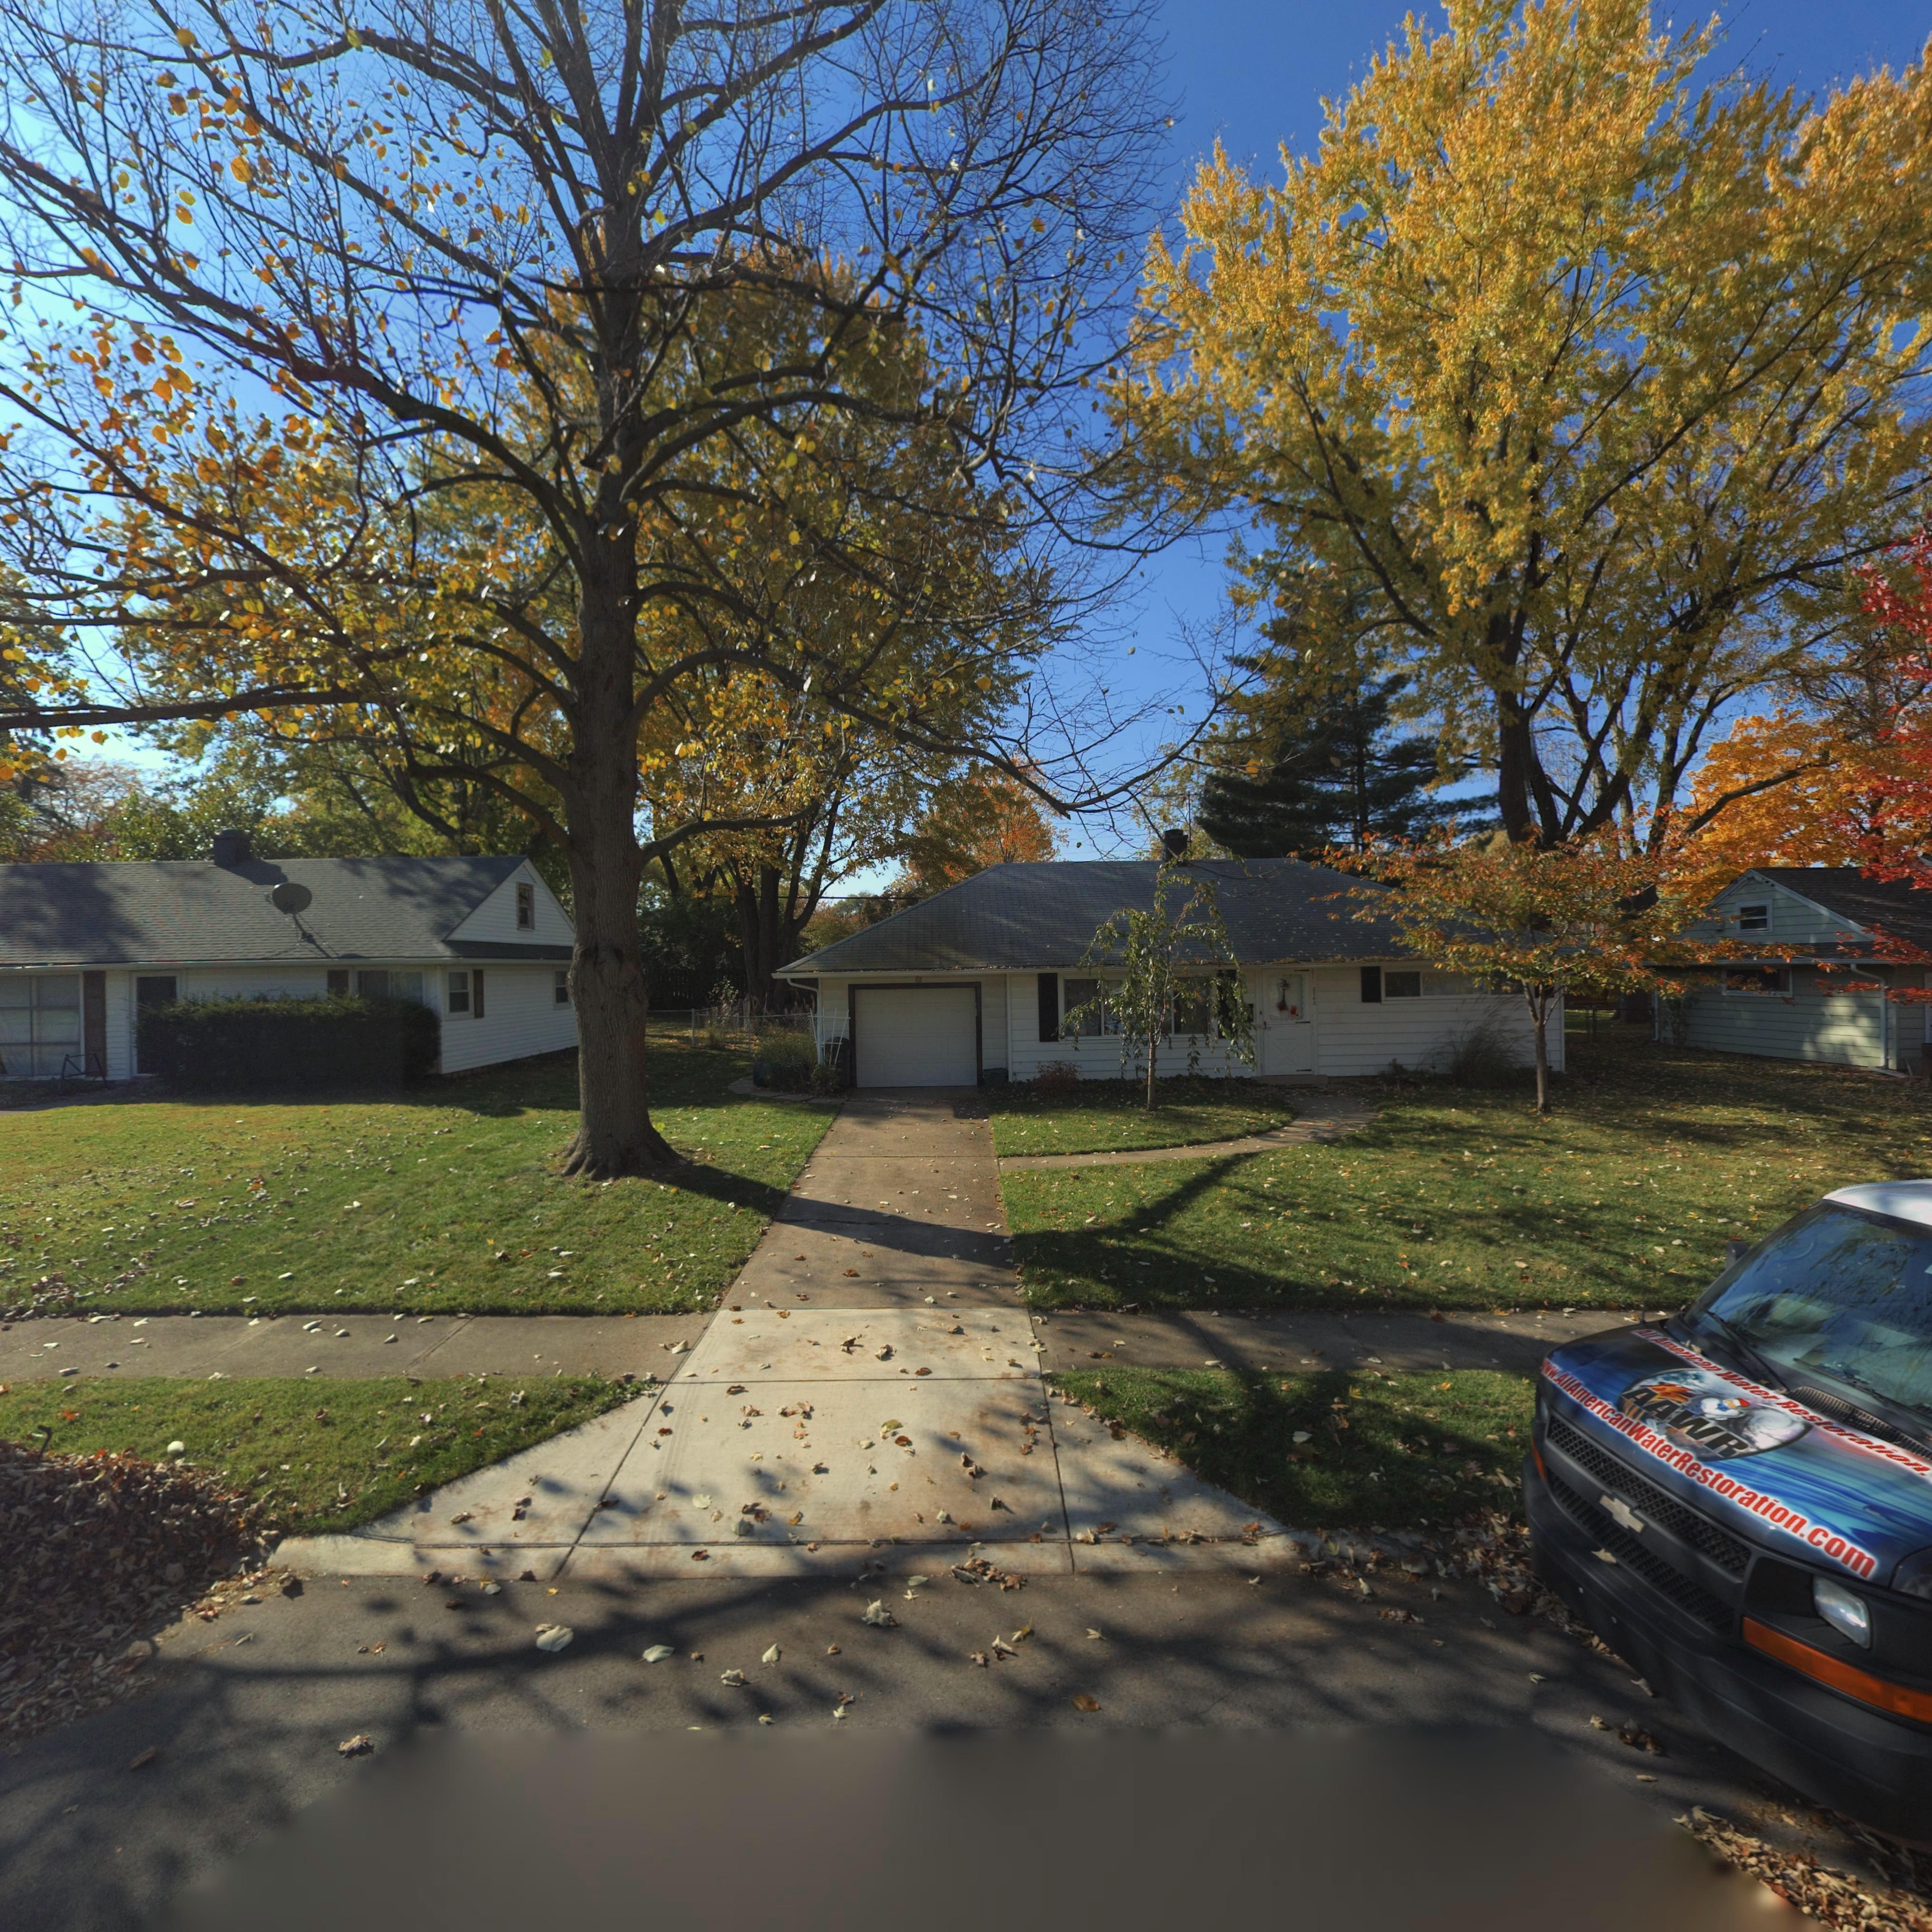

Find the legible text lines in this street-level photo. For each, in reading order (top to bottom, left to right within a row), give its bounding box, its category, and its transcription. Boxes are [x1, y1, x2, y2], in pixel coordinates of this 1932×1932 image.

[1312, 986, 1316, 1005] StreetNumber: 3743
[1618, 1386, 1752, 1460] None: AAWR
[1540, 1361, 1877, 1579] None: ww.AllAmericanWaterRestoration.com
[1631, 1328, 1931, 1478] None: All American Water Restoration,